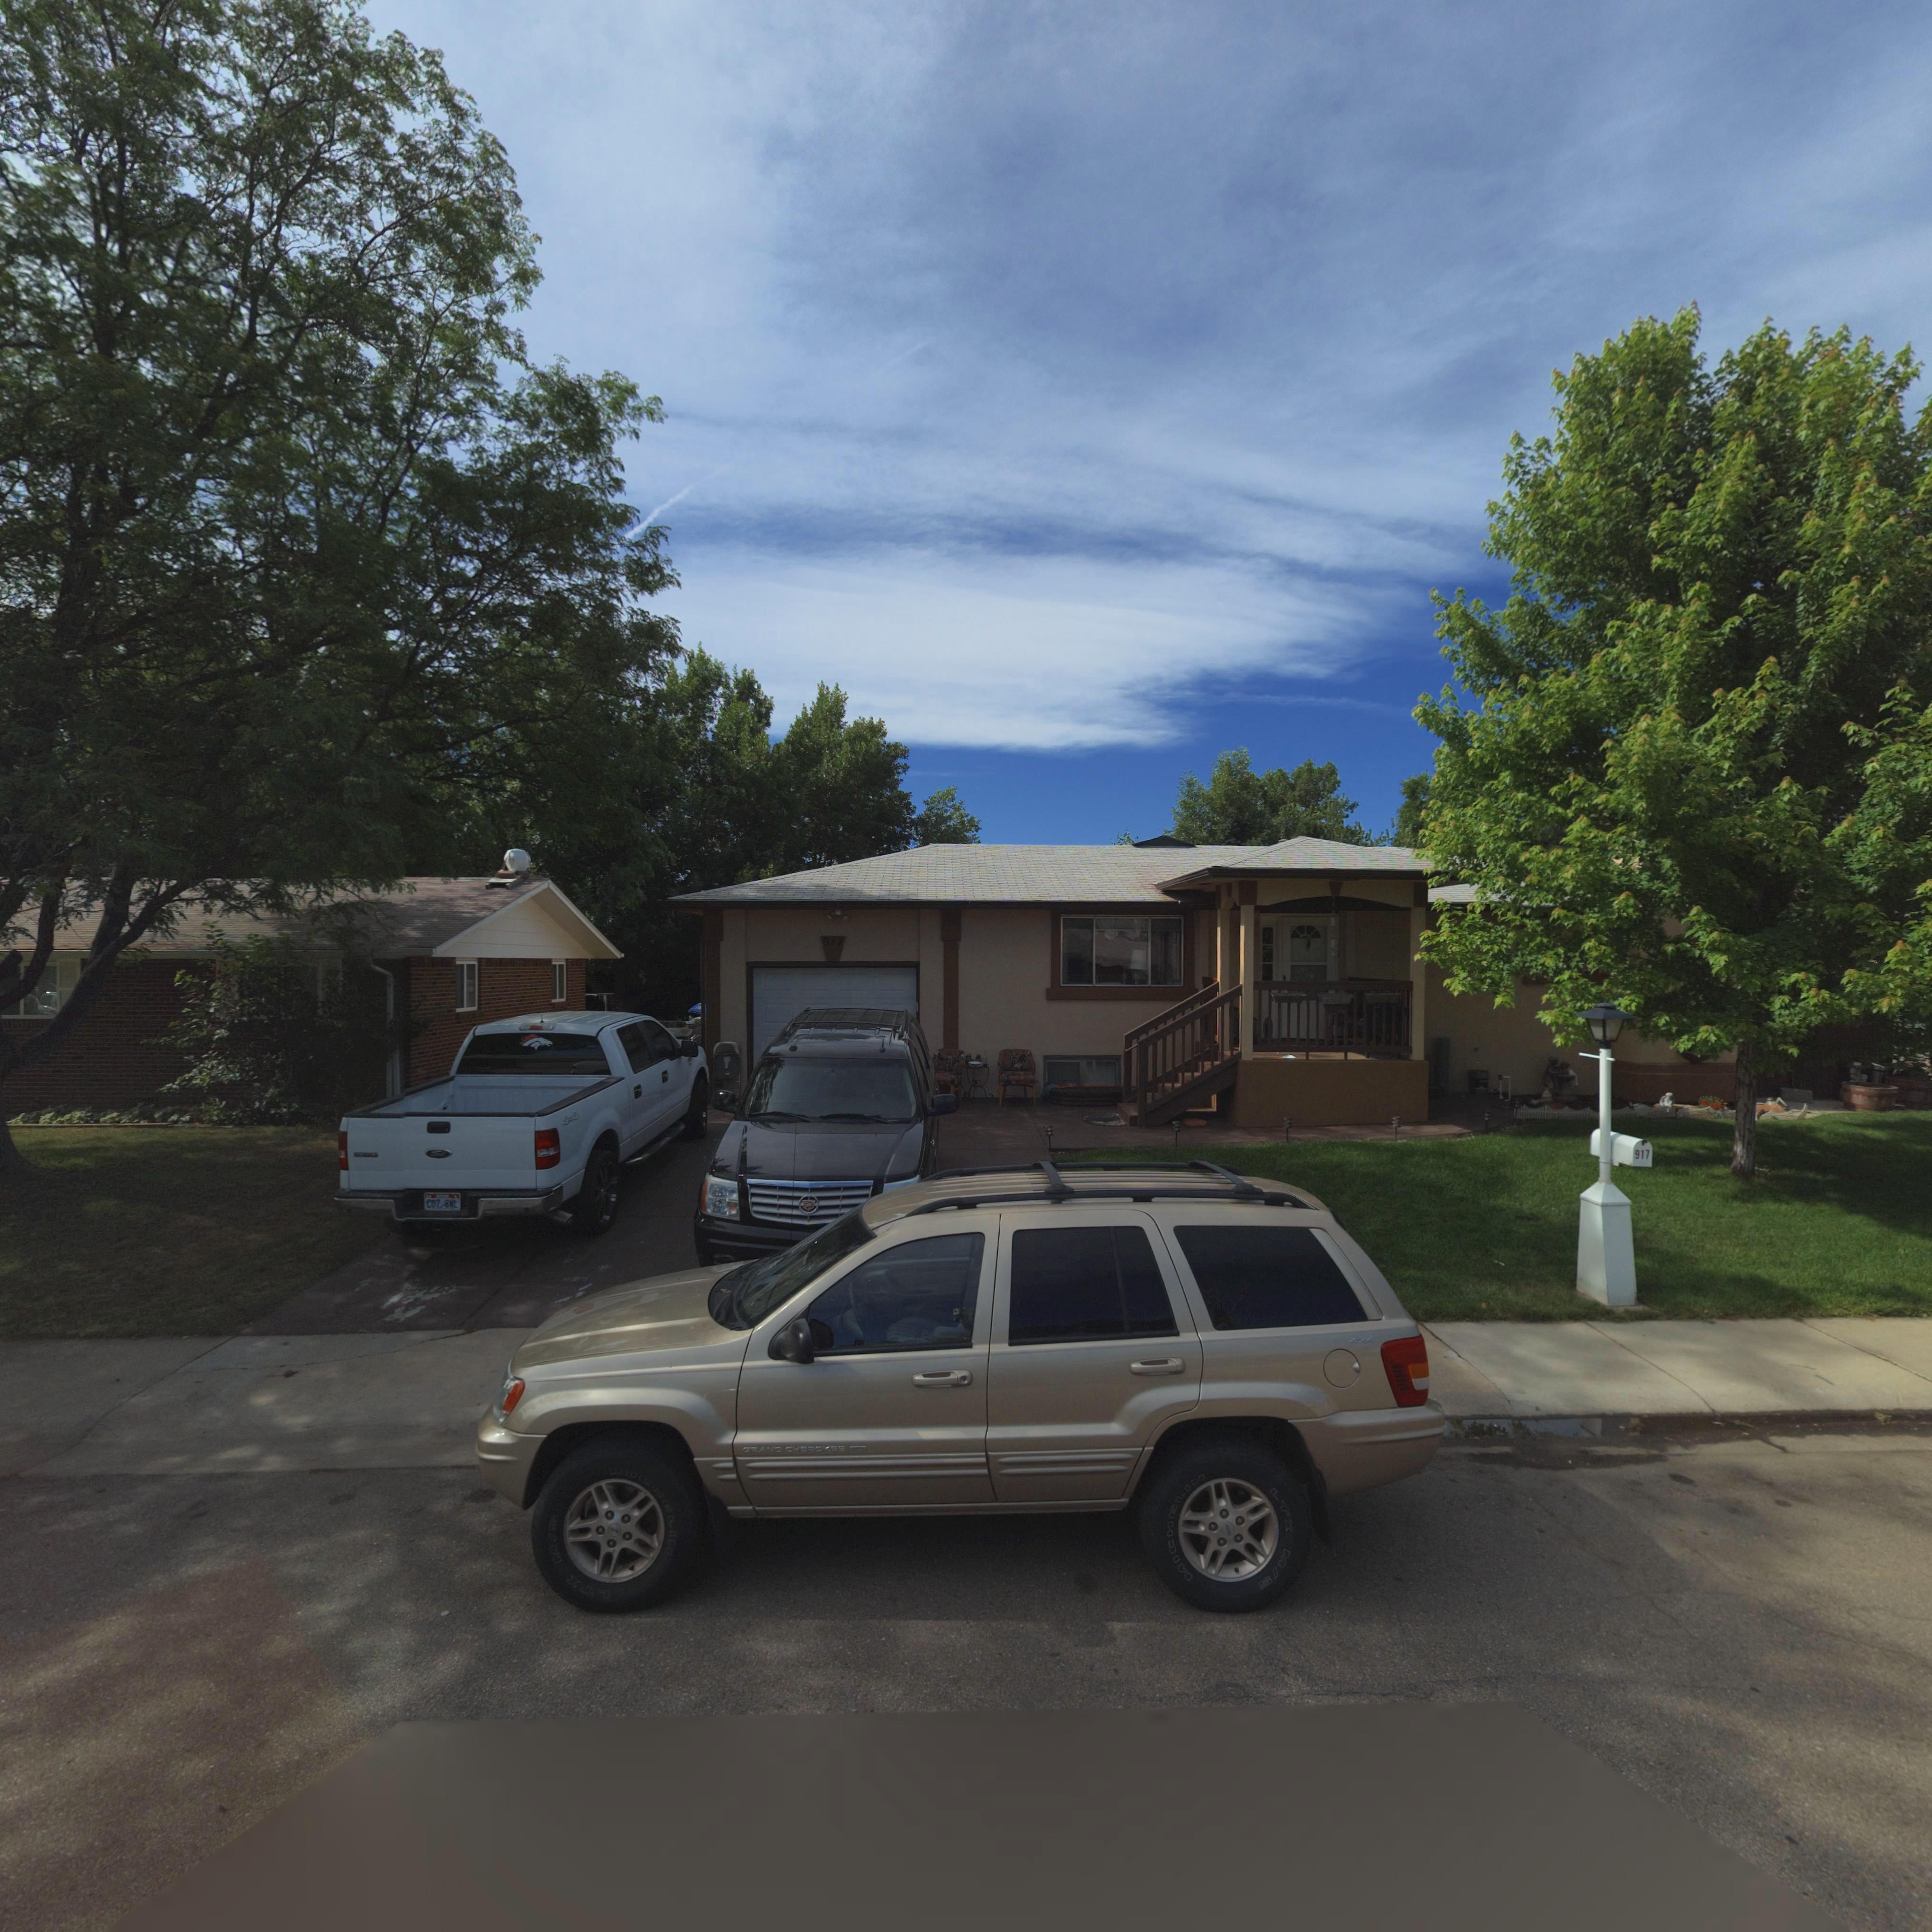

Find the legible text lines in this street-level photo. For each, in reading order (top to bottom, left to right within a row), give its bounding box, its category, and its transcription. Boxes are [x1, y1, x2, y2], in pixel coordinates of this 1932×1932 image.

[822, 936, 844, 947] StreetNumber: 917
[1634, 1149, 1650, 1159] StreetNumber: 917